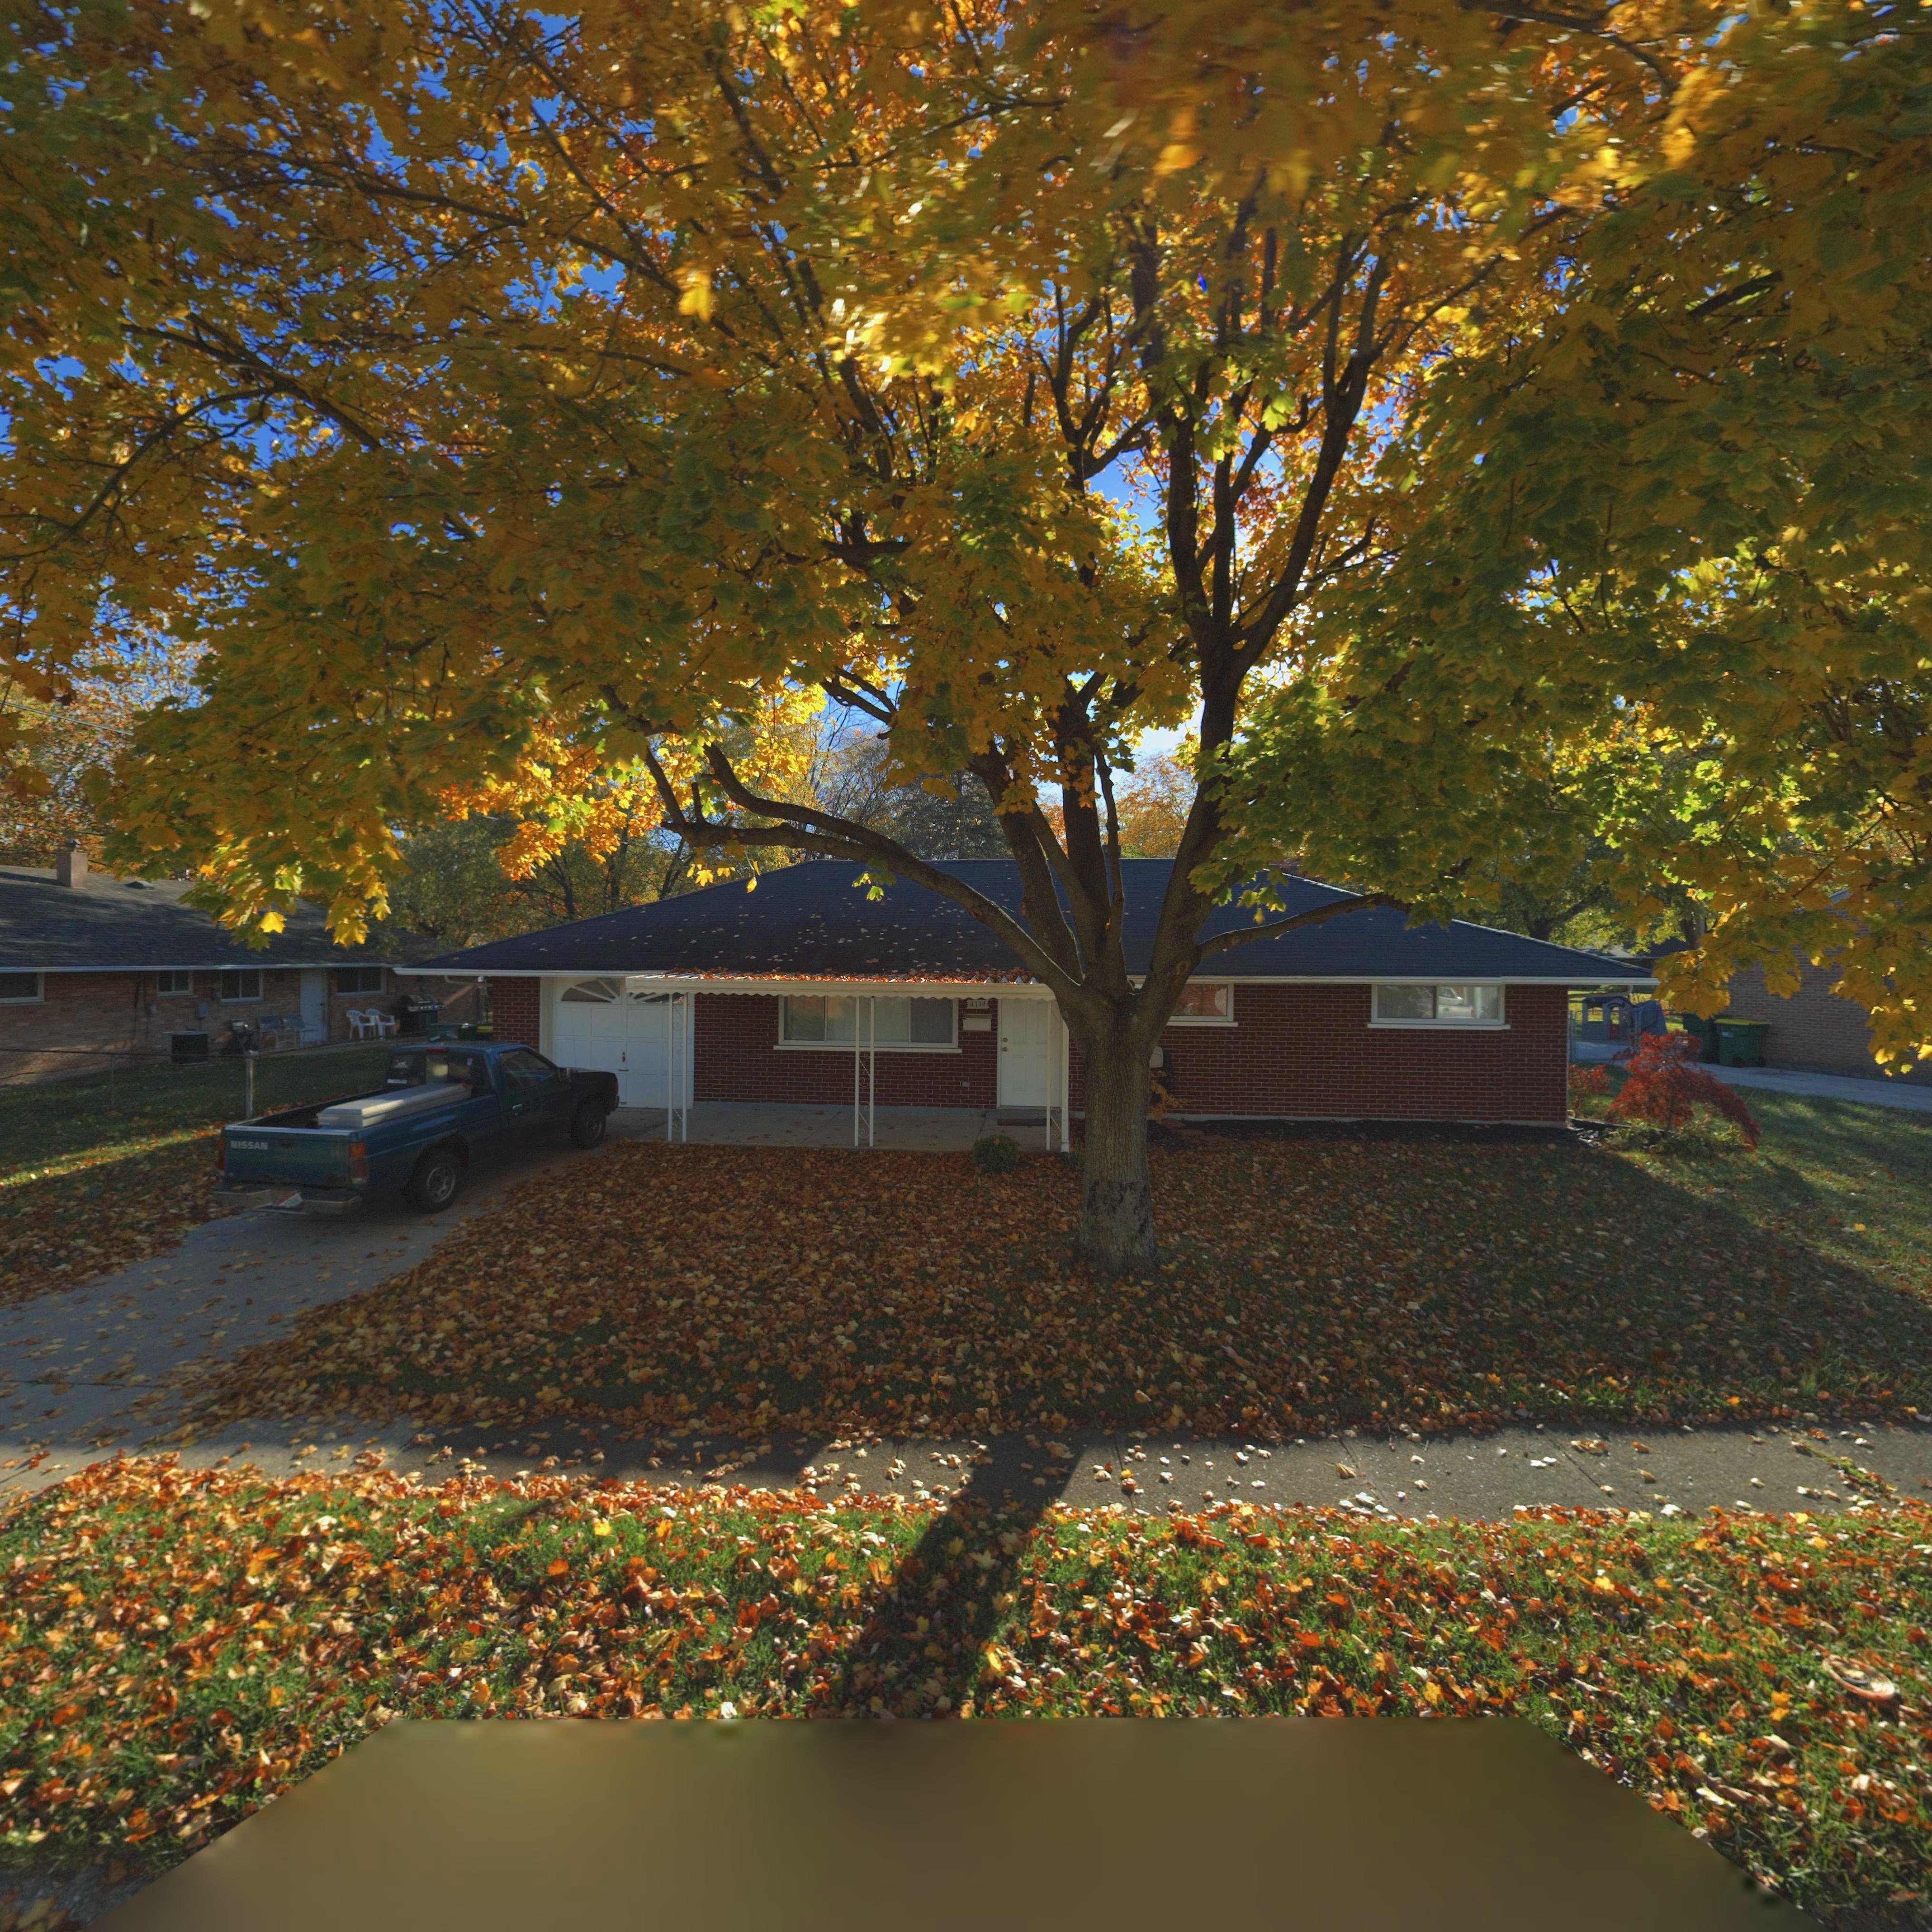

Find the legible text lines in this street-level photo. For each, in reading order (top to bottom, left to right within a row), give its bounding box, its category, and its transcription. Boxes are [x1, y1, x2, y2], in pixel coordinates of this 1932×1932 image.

[969, 1000, 986, 1007] StreetNumber: 4716